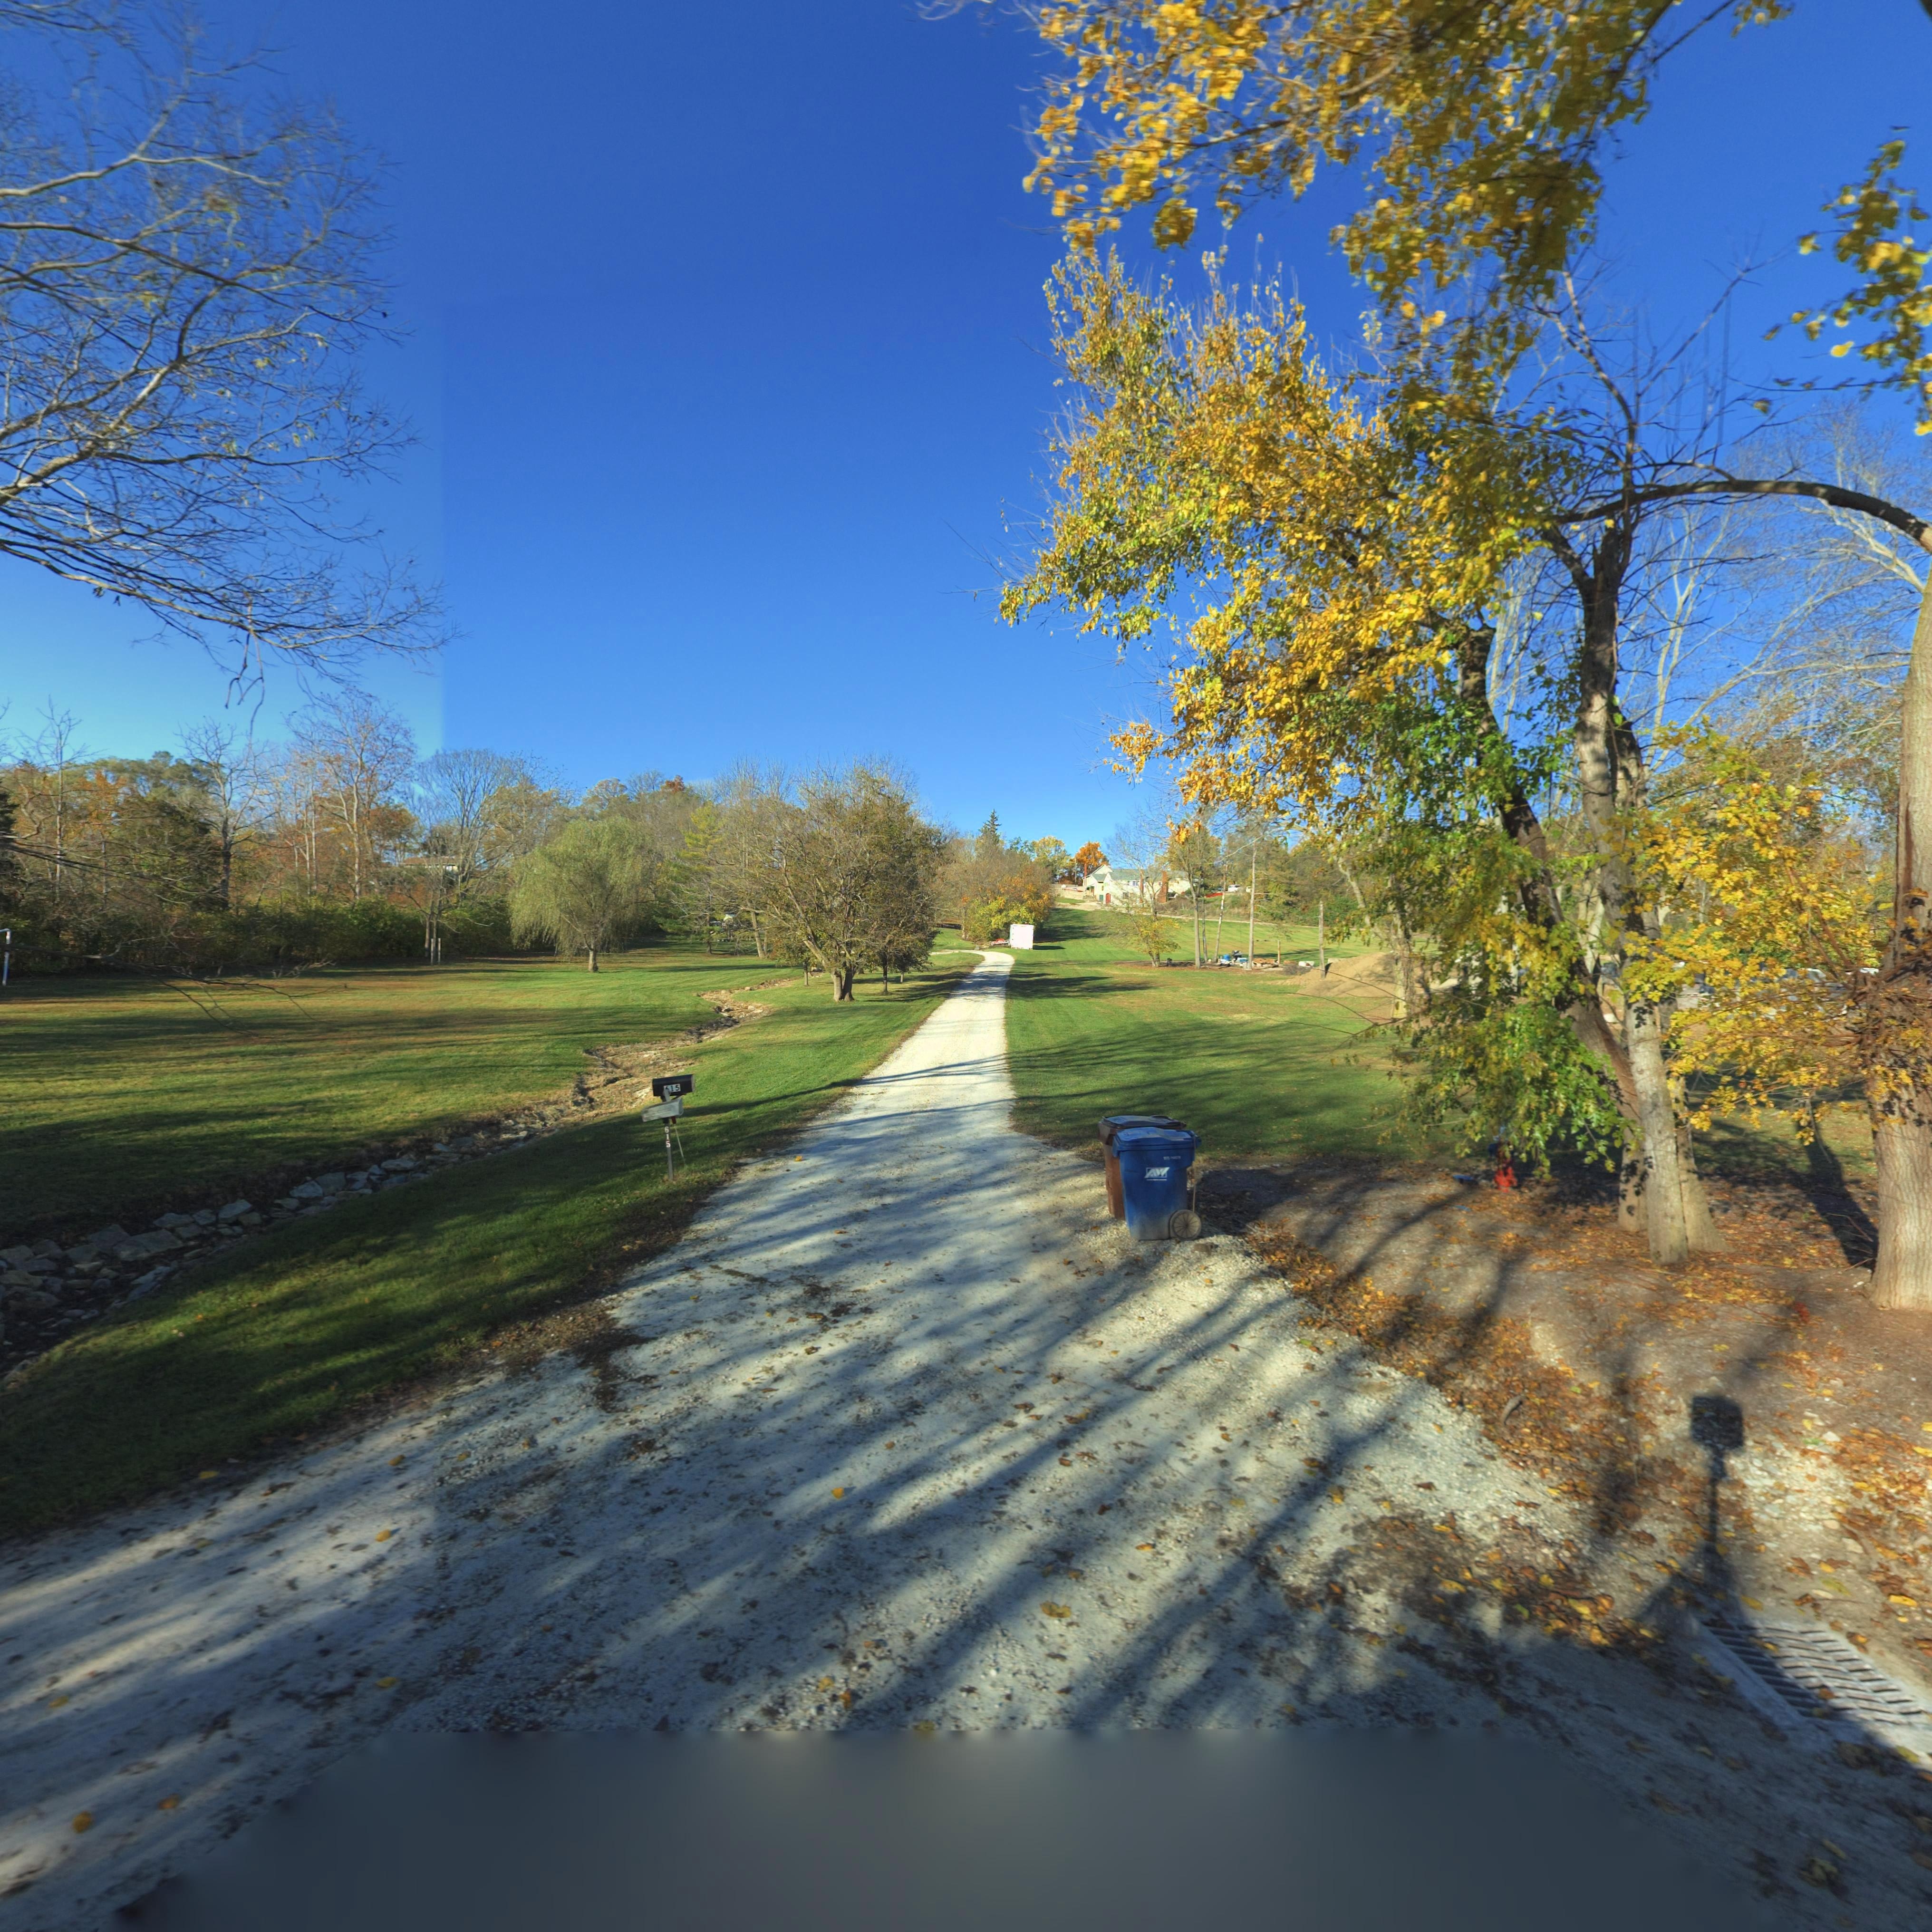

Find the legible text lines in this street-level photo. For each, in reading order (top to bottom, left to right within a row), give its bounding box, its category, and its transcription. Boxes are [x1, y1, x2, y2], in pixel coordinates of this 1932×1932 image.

[665, 1084, 680, 1092] StreetNumber: *15
[664, 1125, 671, 1149] StreetNumber: 615
[1143, 1167, 1172, 1179] None: AW